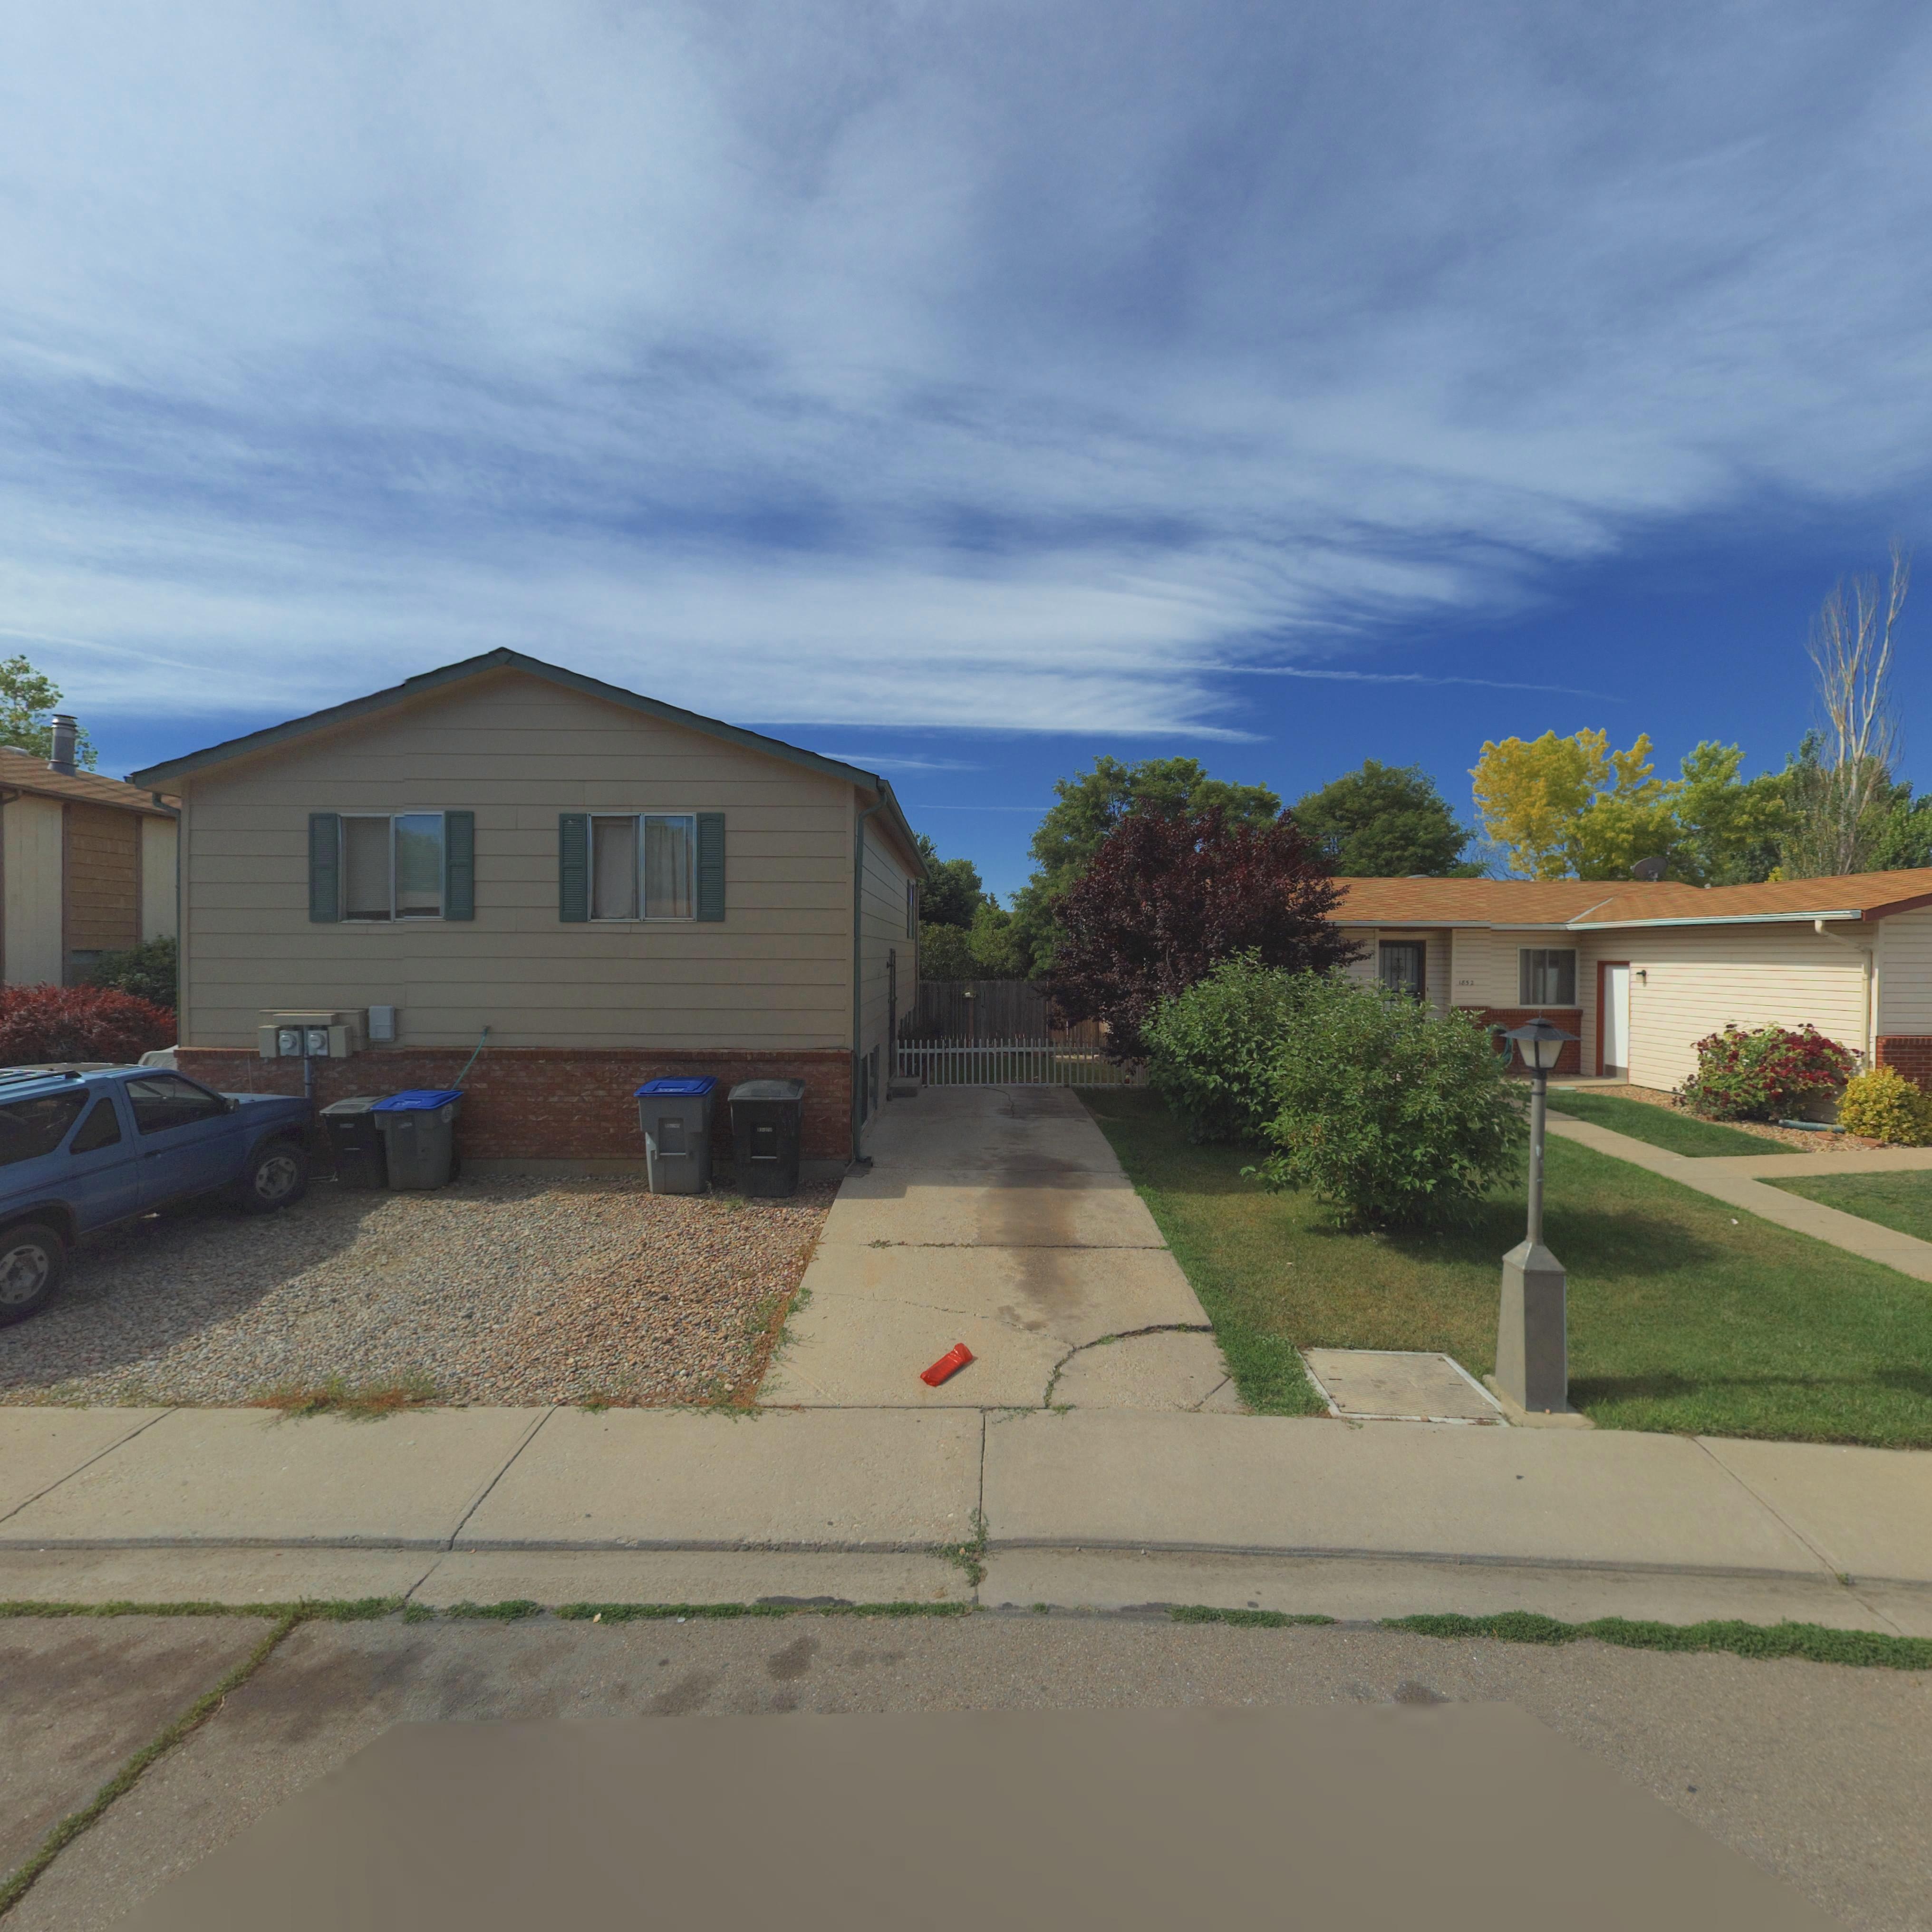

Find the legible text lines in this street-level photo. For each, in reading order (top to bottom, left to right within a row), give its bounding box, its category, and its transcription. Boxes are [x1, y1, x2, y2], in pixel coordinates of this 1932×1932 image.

[1459, 979, 1474, 985] StreetNumber: 1852